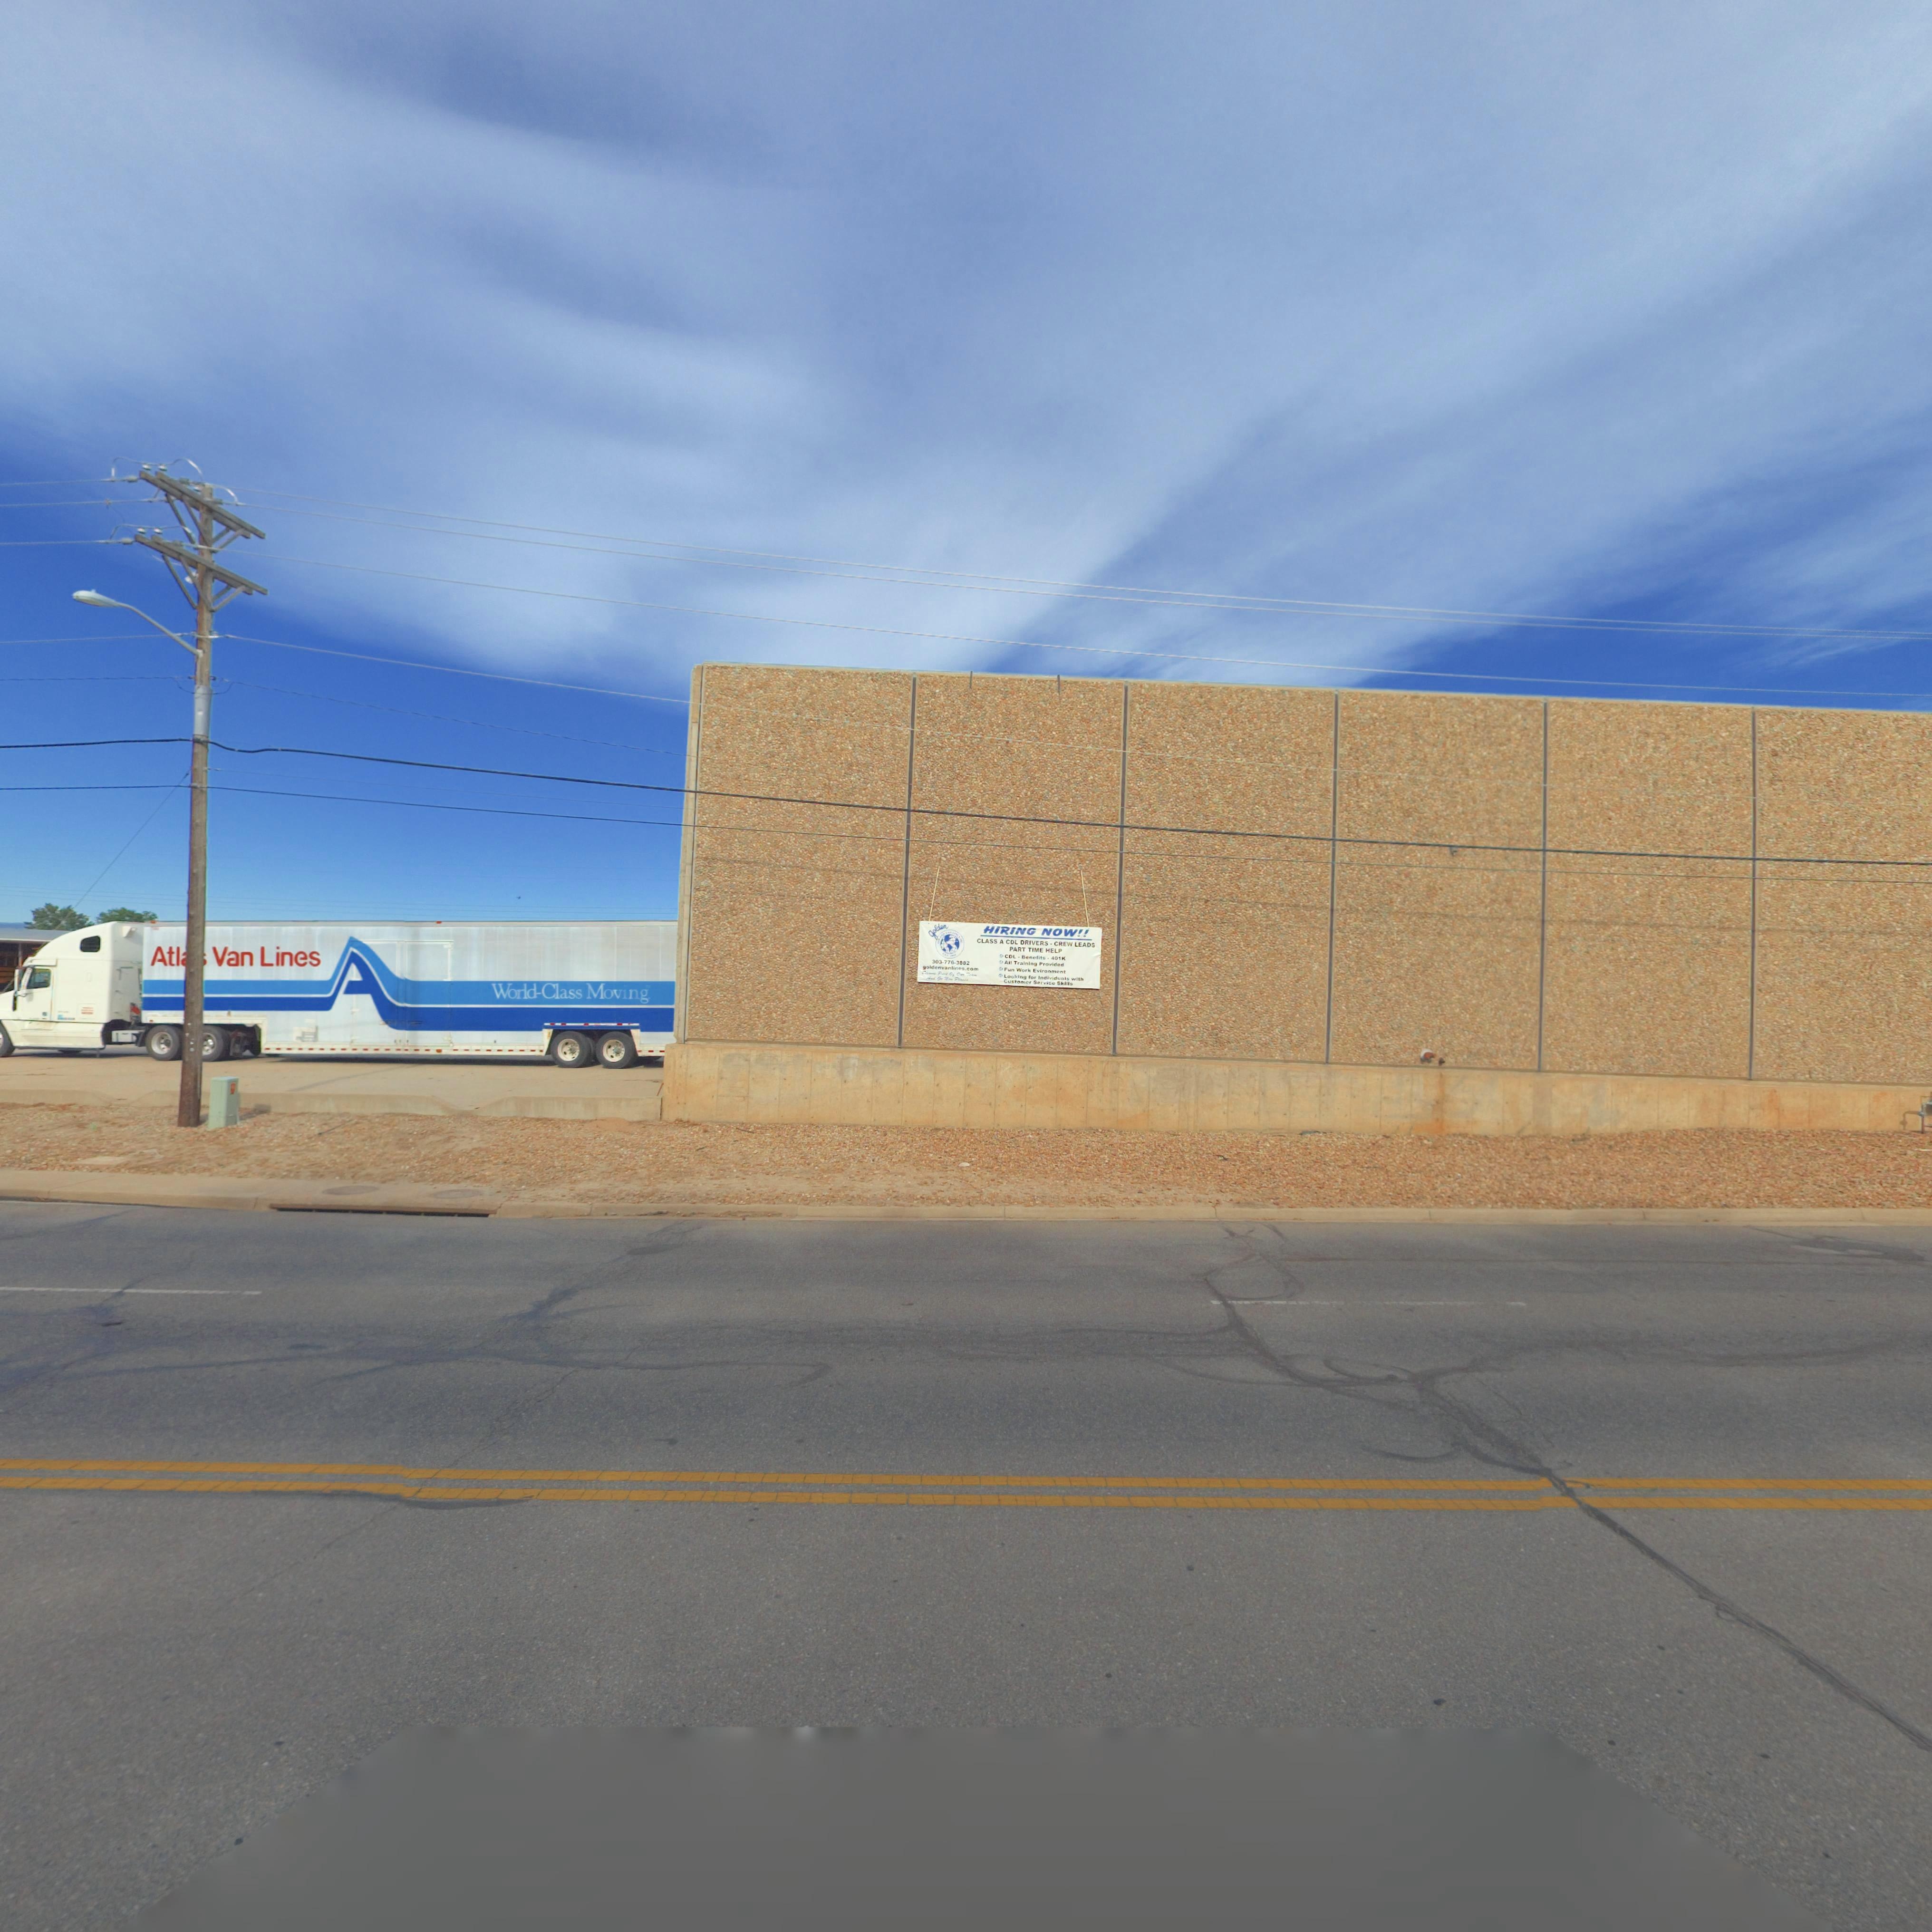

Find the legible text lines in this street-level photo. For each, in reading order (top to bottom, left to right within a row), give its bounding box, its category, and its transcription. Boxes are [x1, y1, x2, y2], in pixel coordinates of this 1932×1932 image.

[928, 923, 947, 940] BusinessName: golden
[149, 945, 322, 967] BusinessName: Atl Van Lines